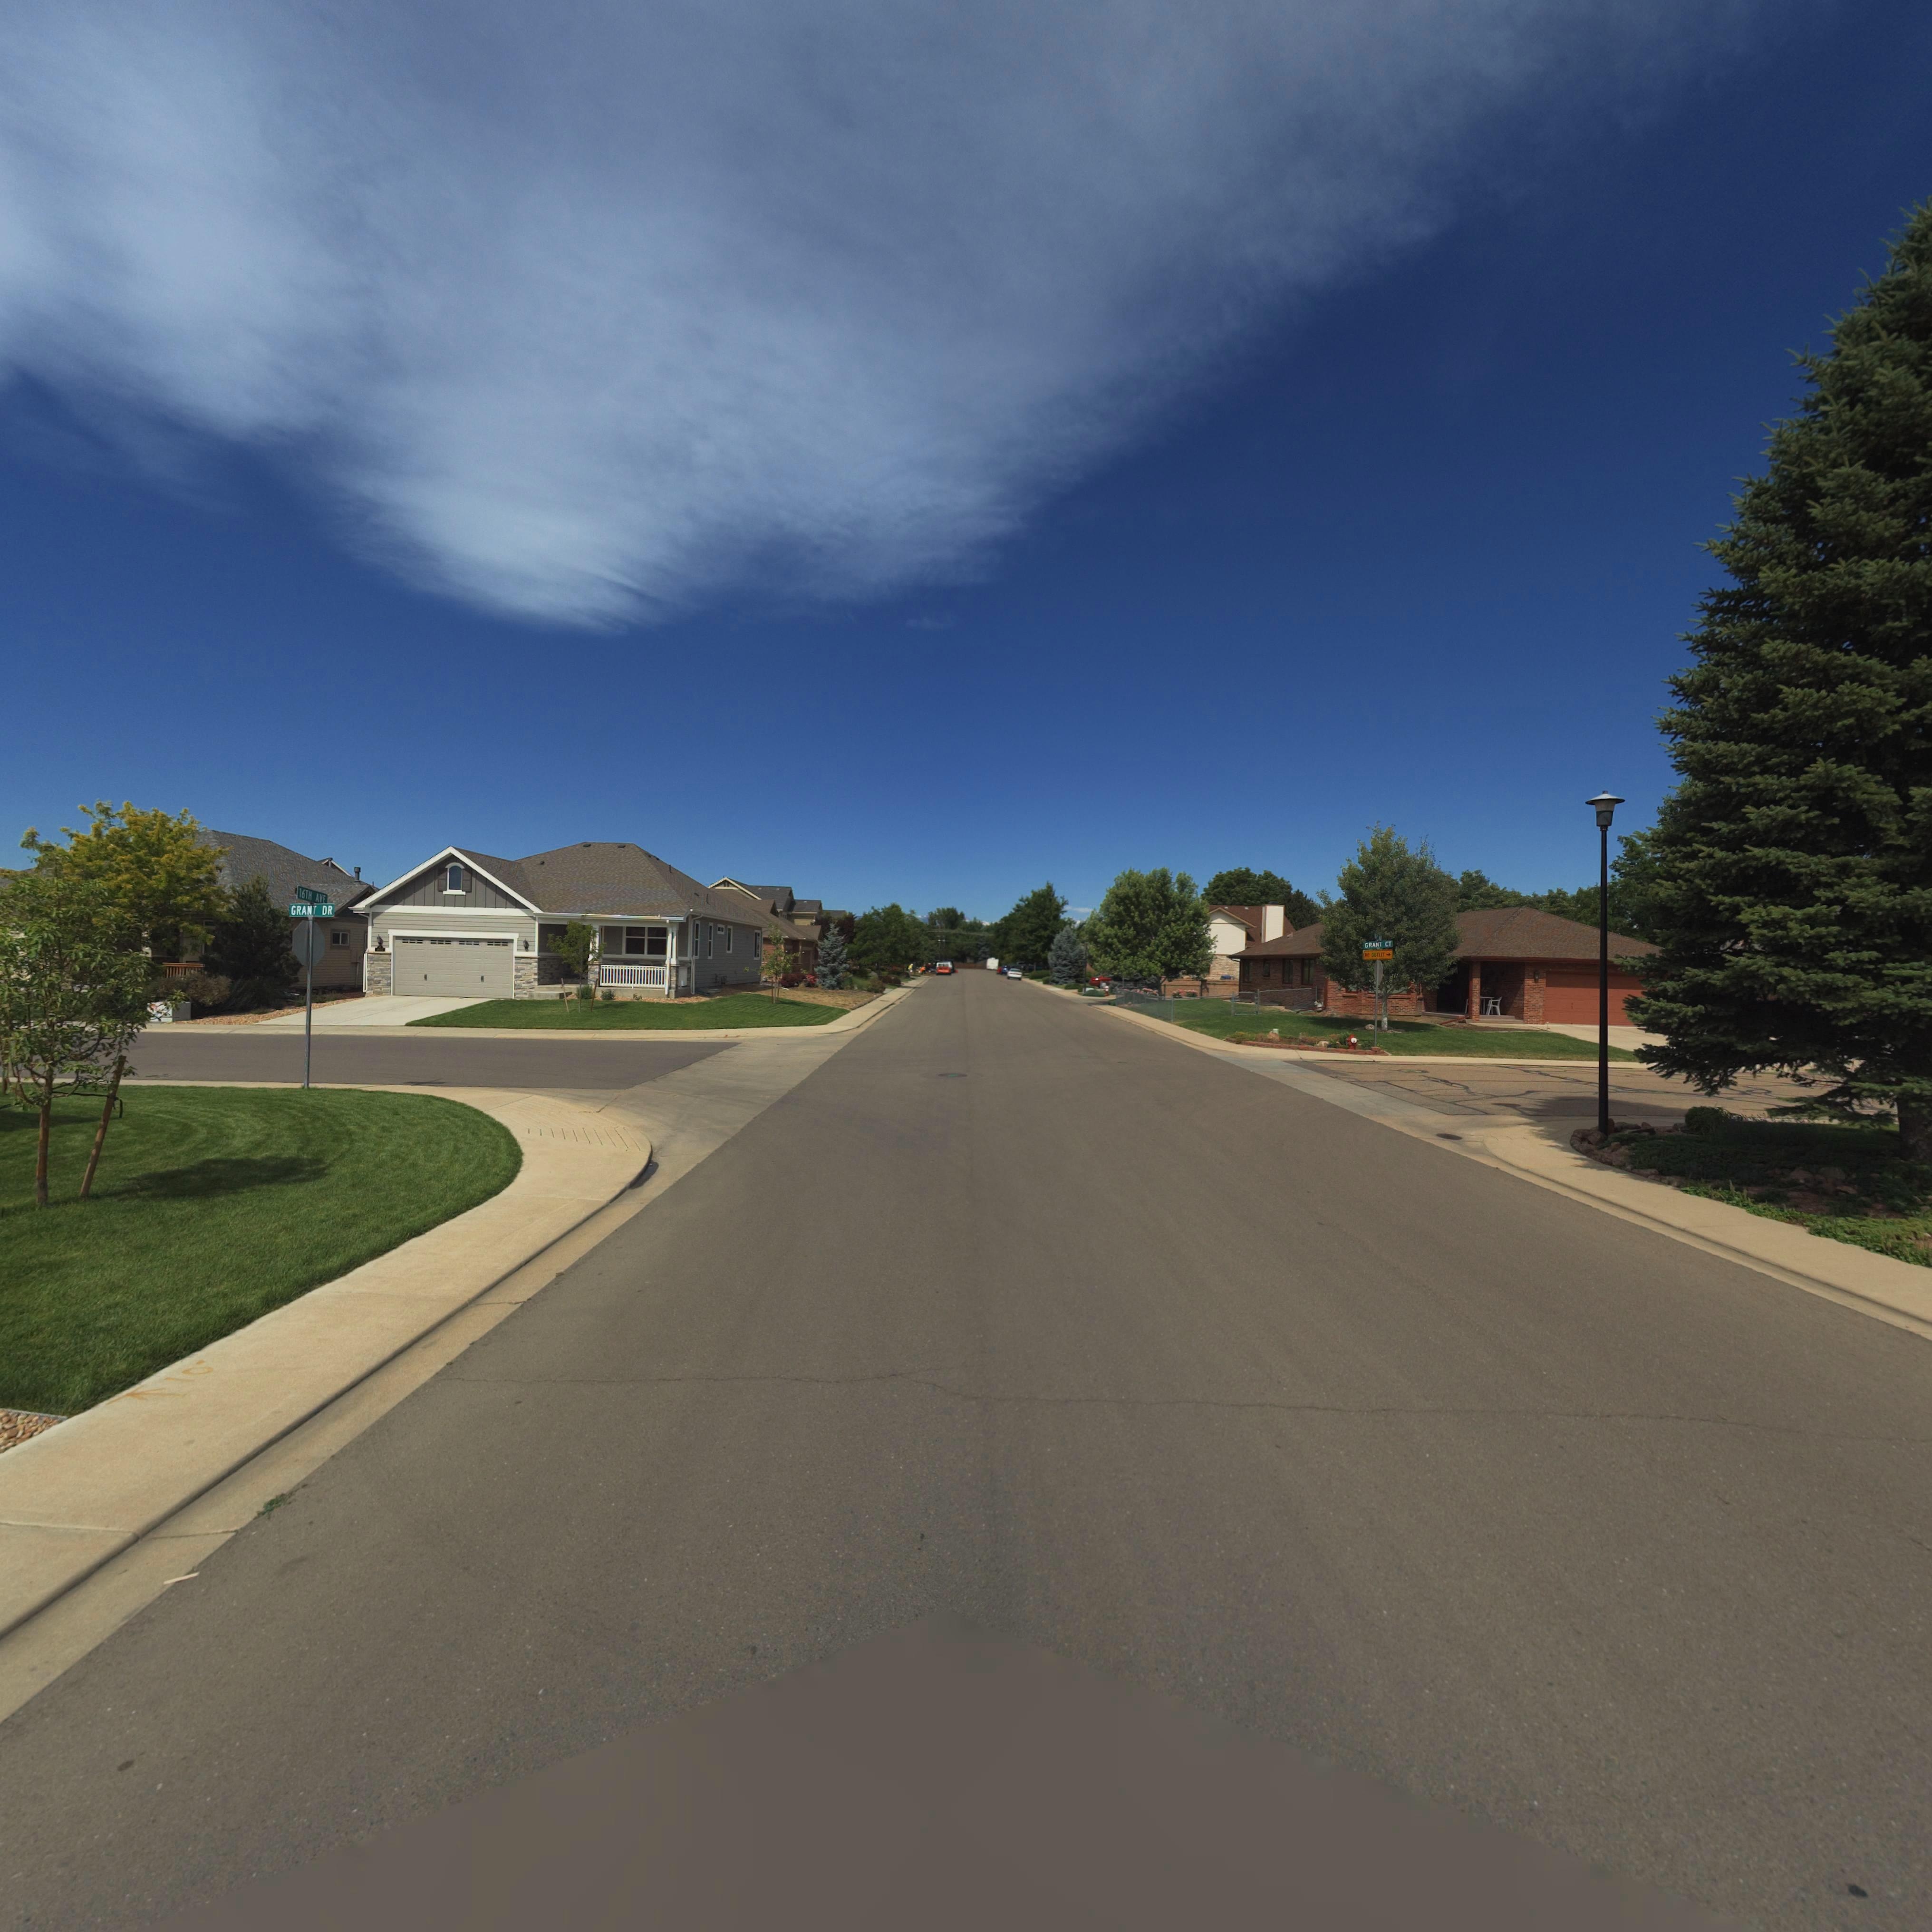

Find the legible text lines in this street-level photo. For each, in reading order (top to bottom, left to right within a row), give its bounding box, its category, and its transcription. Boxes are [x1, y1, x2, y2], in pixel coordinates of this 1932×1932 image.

[299, 887, 326, 903] StreetName: 16TH AVE
[290, 905, 333, 915] StreetName: GRANT DR
[1364, 941, 1391, 948] BusinessName: GRANT CT